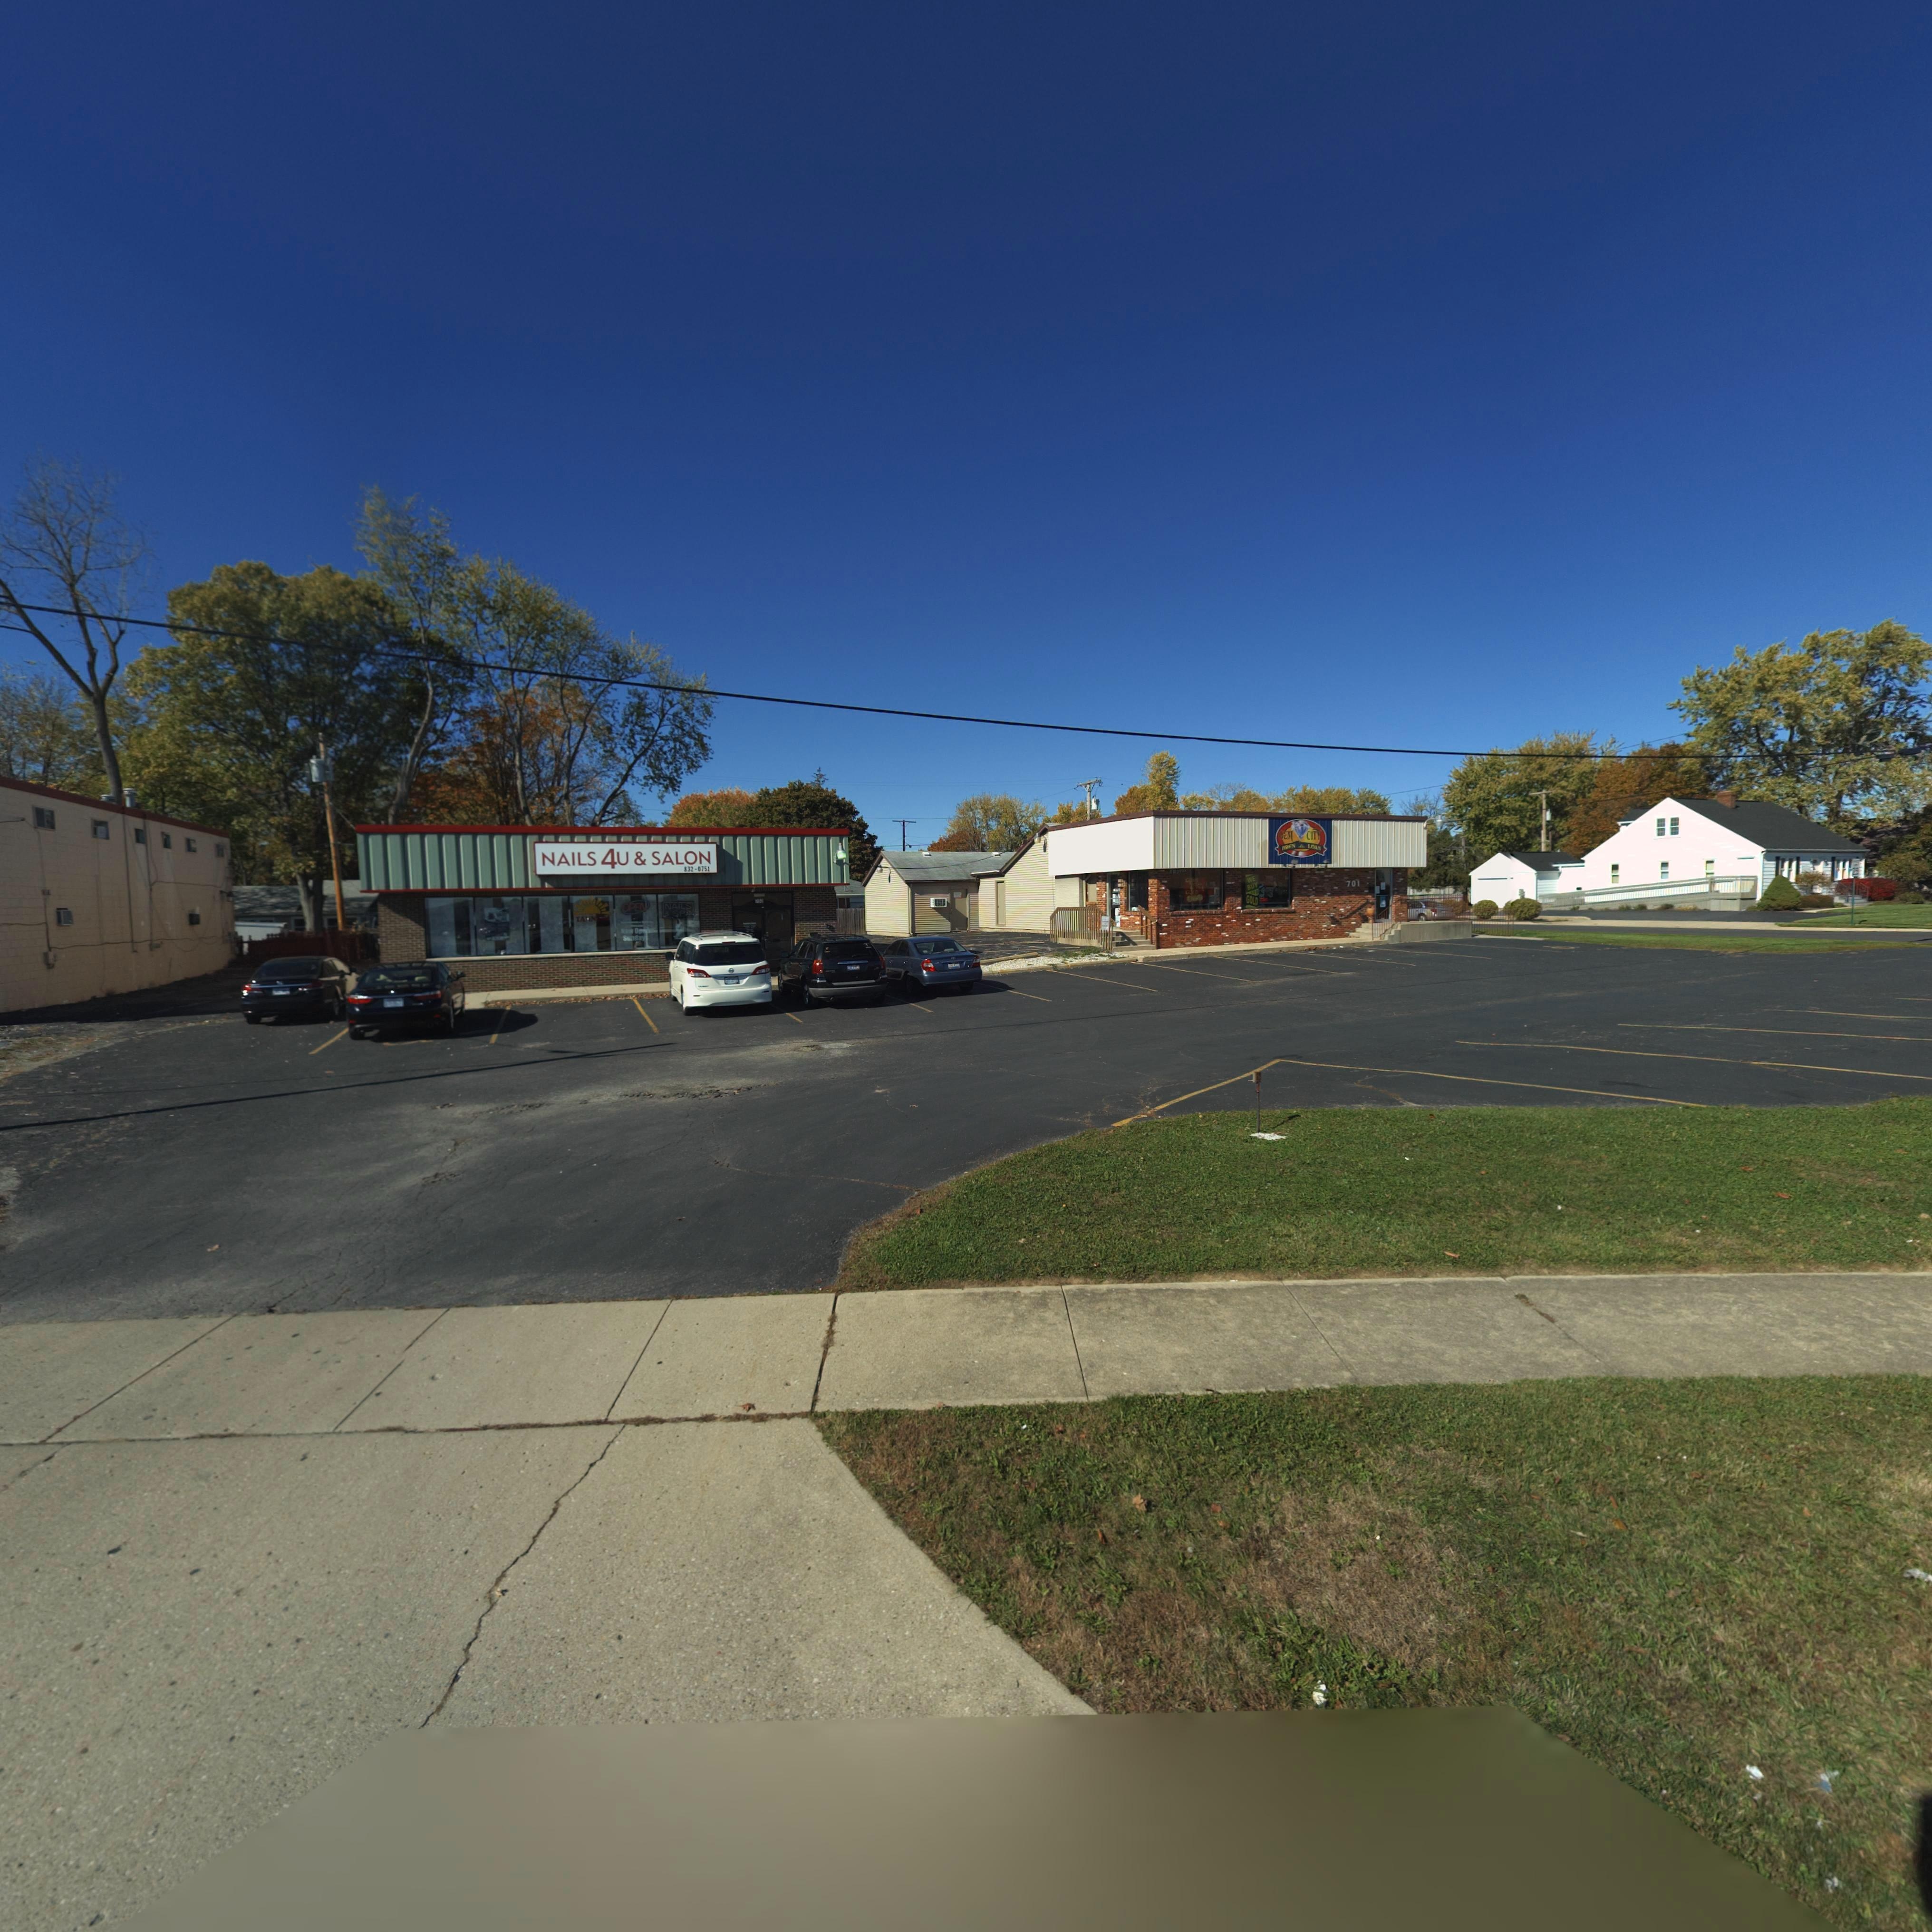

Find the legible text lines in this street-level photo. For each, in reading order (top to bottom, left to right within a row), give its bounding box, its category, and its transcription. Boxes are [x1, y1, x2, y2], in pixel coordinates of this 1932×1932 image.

[1277, 829, 1322, 841] BusinessName: GEM CITY
[1307, 843, 1322, 851] BusinessName: LOAN
[540, 848, 712, 869] BusinessName: NAILS 4U & SALON
[1345, 879, 1361, 888] StreetNumber: 701
[575, 916, 587, 923] None: TA